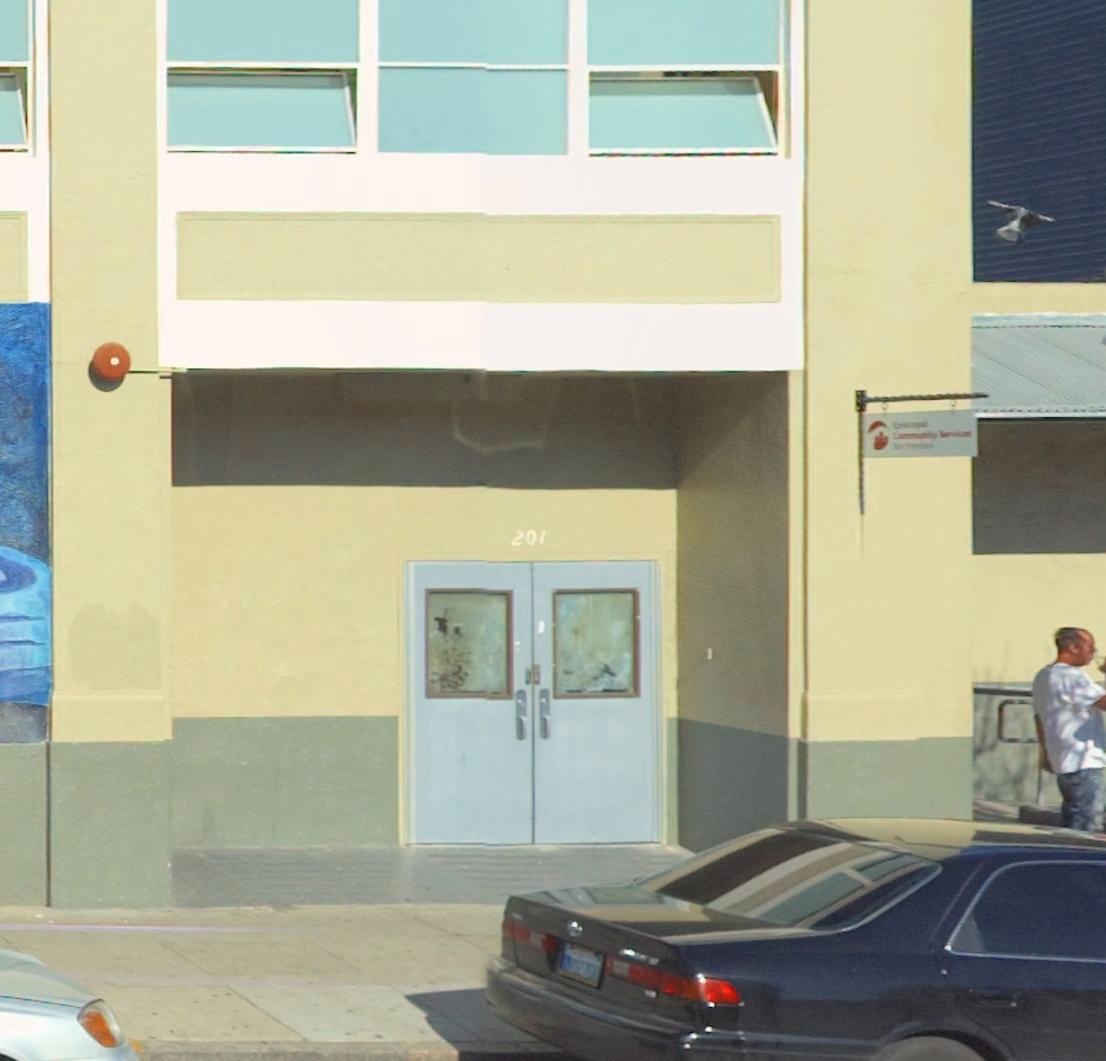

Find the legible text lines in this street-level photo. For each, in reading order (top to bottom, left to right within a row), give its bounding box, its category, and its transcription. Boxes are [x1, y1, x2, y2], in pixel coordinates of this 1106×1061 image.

[510, 528, 548, 547] StreetNumber: 201